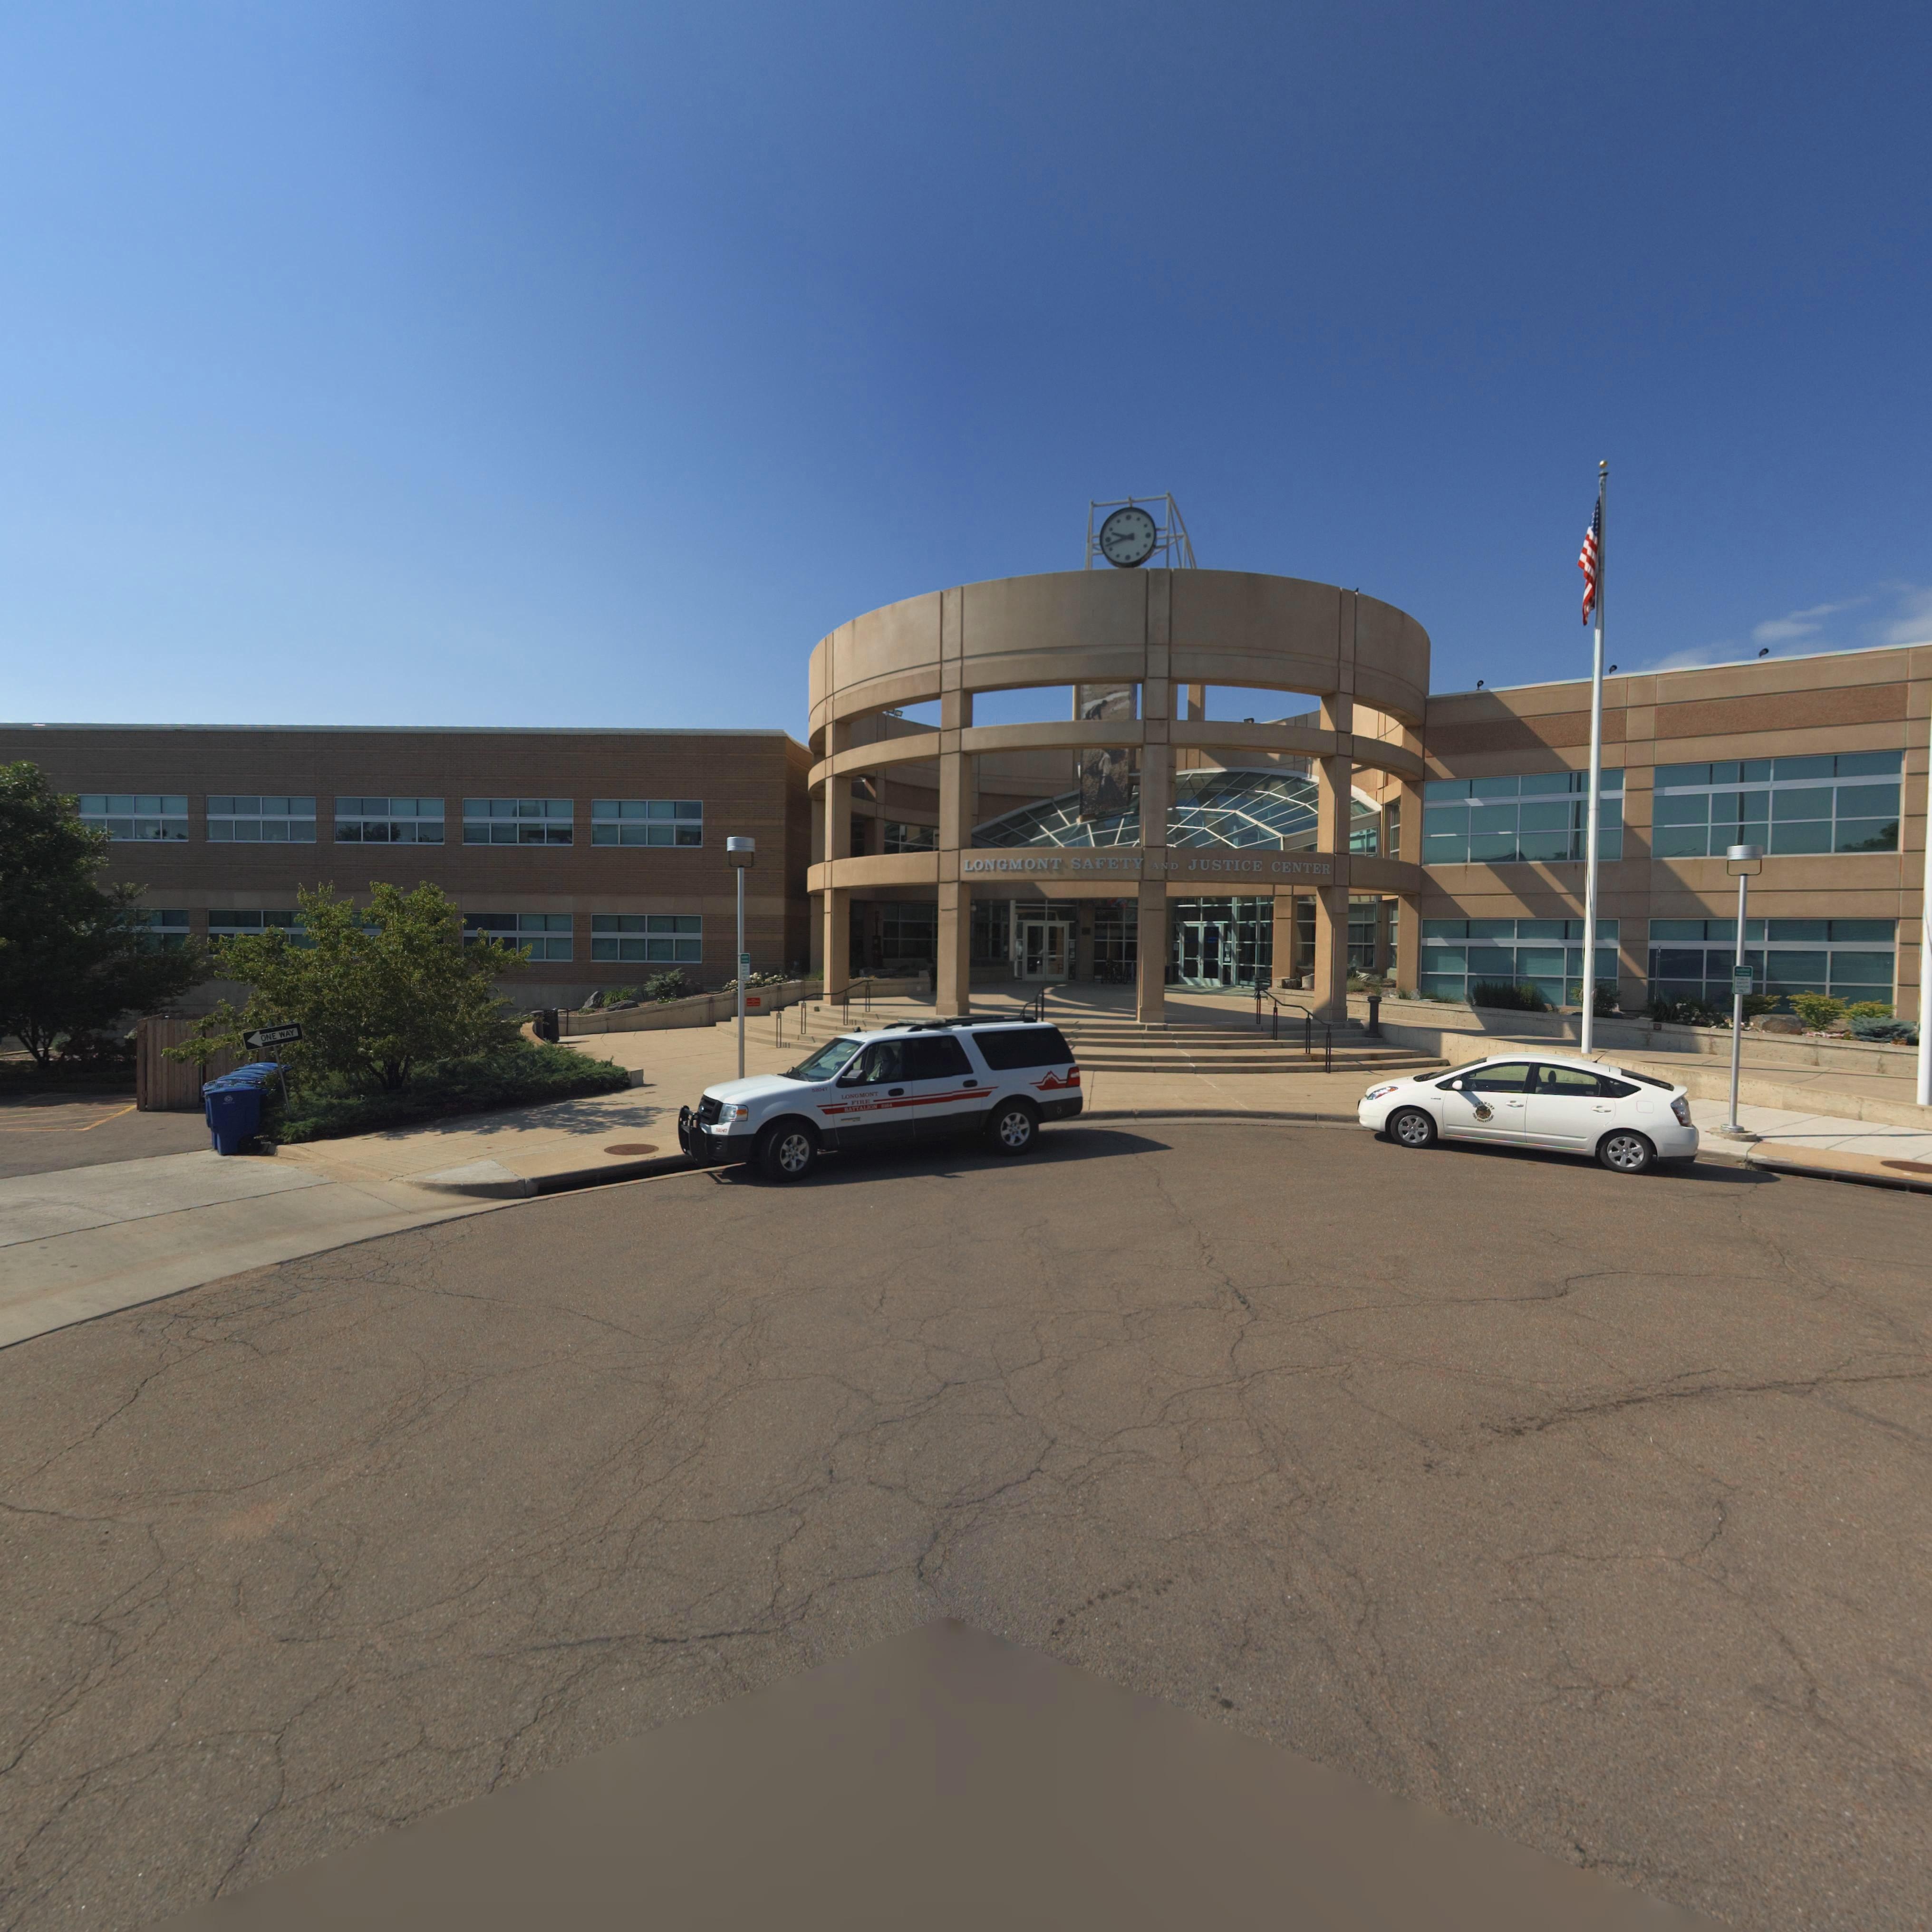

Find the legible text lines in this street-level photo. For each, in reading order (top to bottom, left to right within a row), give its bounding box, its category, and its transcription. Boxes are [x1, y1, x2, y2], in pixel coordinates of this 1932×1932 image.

[964, 857, 1331, 875] BusinessName: LONGMONT SAFETY AND JUSTICE CENTER